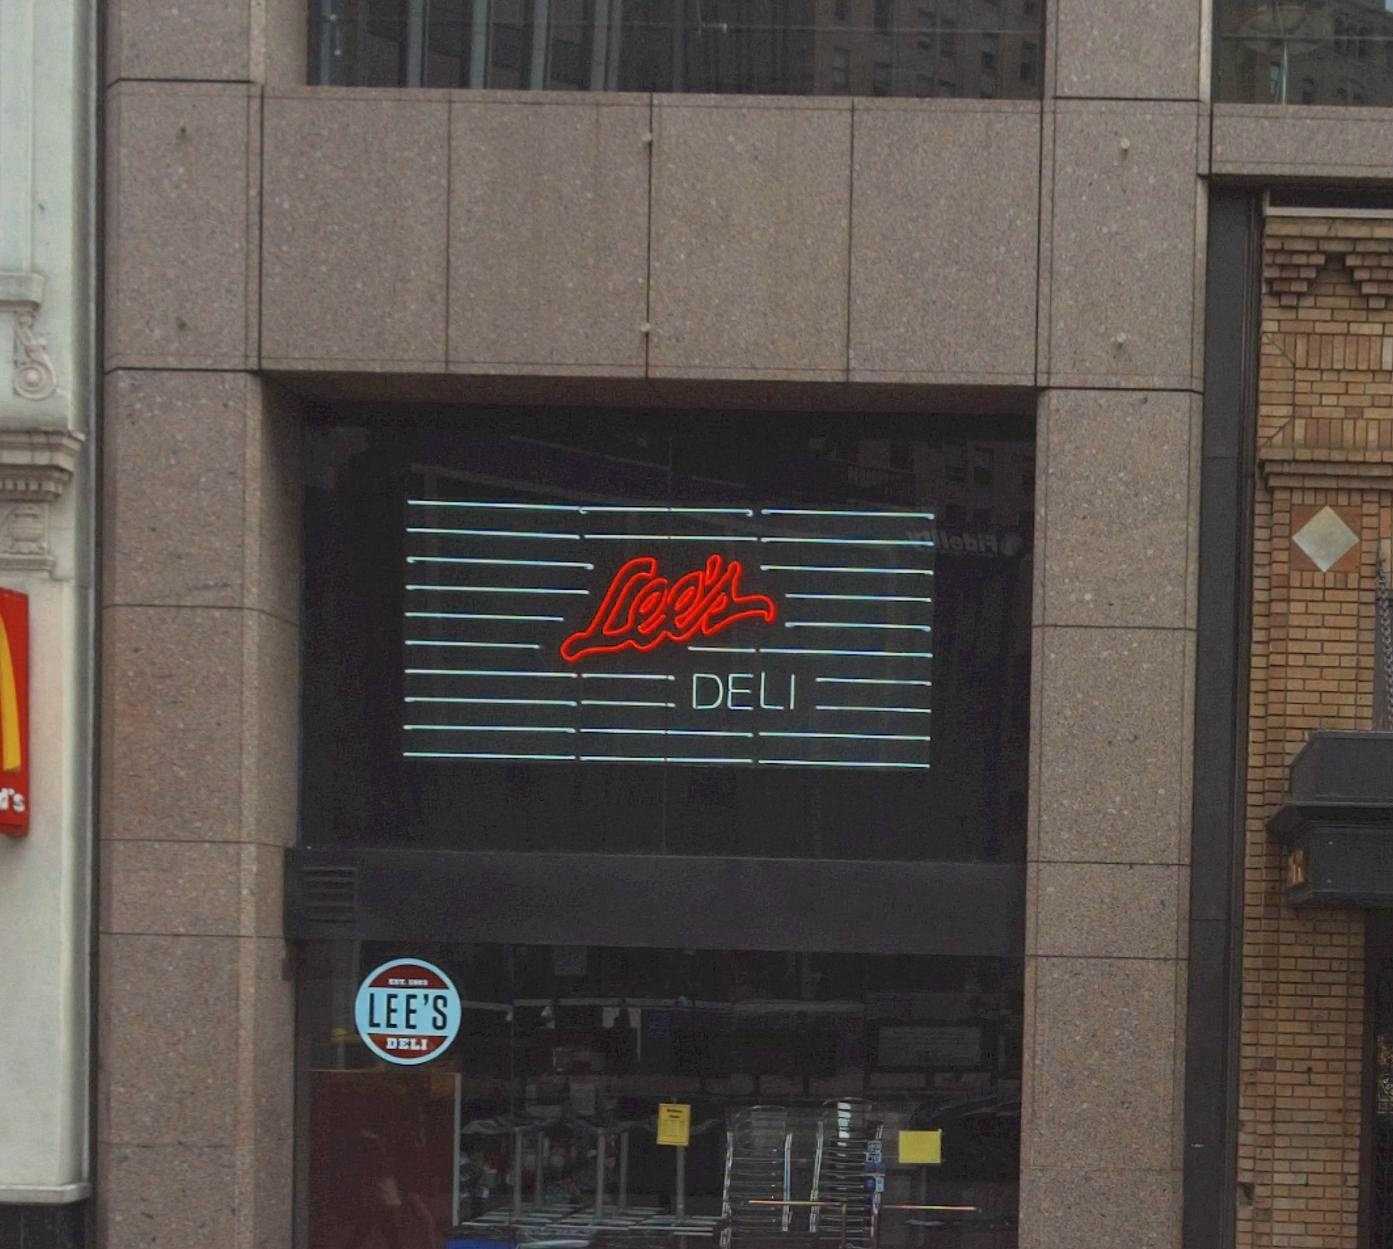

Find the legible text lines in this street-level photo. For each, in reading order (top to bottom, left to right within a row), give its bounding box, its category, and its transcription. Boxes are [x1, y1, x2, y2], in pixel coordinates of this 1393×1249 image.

[936, 526, 1002, 556] None: il**i*
[552, 549, 781, 669] BusinessName: Lee's
[687, 667, 800, 714] BusinessName: DELI
[10, 787, 29, 816] None: s
[365, 989, 451, 1033] BusinessName: LEE'S
[383, 1034, 432, 1054] BusinessName: DELI